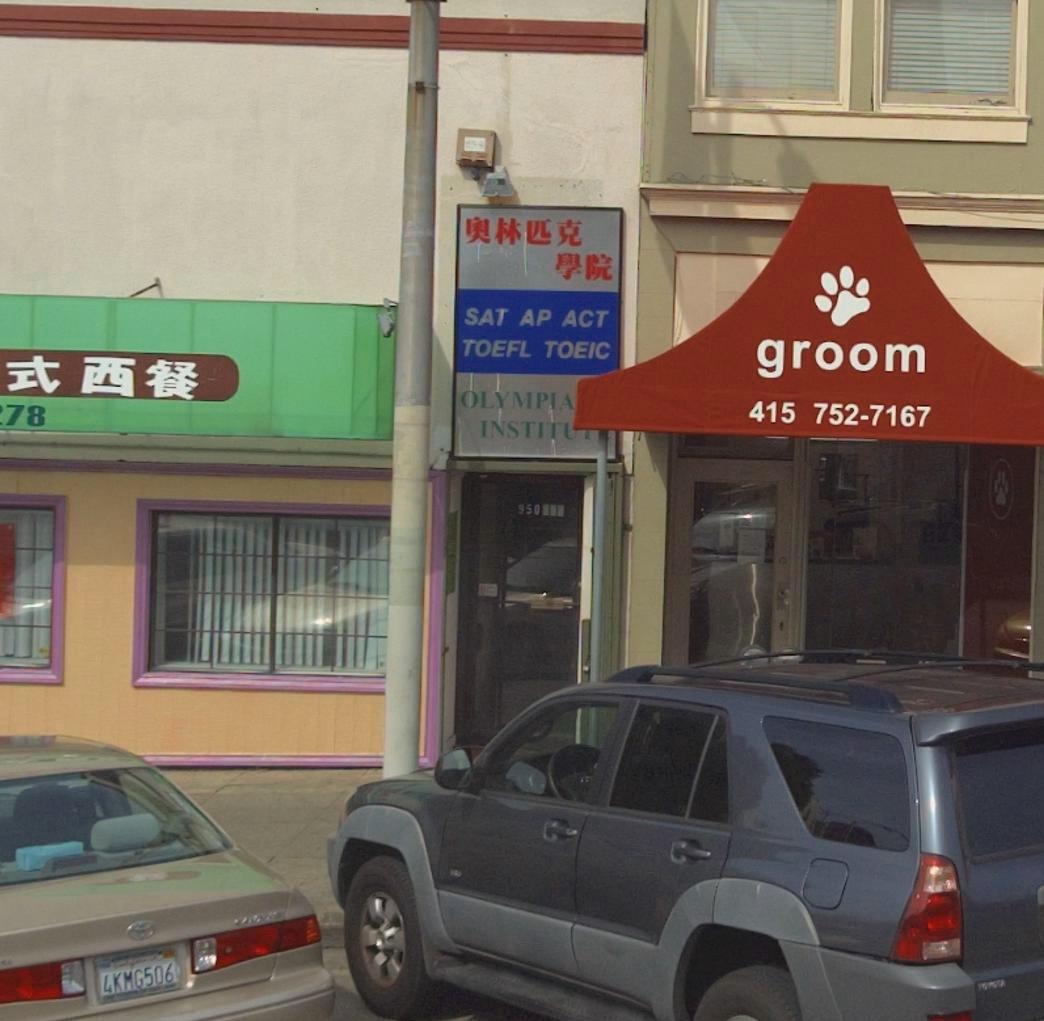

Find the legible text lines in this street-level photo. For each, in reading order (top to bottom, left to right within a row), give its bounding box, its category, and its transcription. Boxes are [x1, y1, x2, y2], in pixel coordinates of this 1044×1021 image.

[463, 305, 611, 328] None: SAT AP ACT
[460, 336, 614, 362] None: TOEFL TOEIC
[754, 336, 927, 381] None: groom
[460, 389, 576, 411] None: OLYMPIA
[5, 402, 46, 429] None: 78
[742, 398, 934, 430] None: 415 752-7167
[479, 419, 562, 440] None: INSTIT
[517, 503, 541, 516] StreetNumber: 950
[103, 961, 175, 996] None: 4KMG506